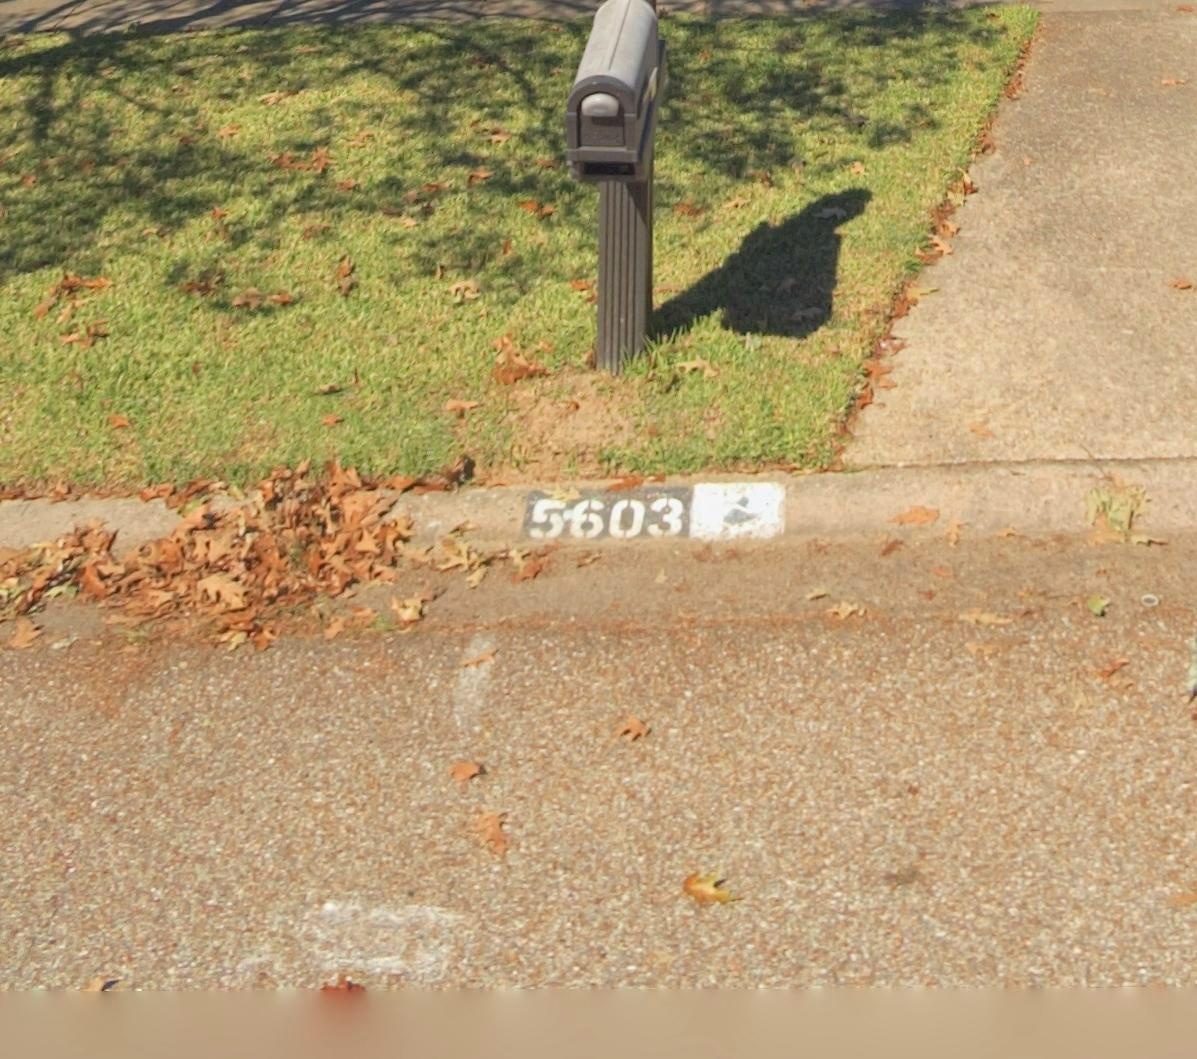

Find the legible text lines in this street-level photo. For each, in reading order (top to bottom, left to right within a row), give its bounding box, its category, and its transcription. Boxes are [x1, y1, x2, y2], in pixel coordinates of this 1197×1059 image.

[526, 495, 687, 542] StreetNumber: 5603